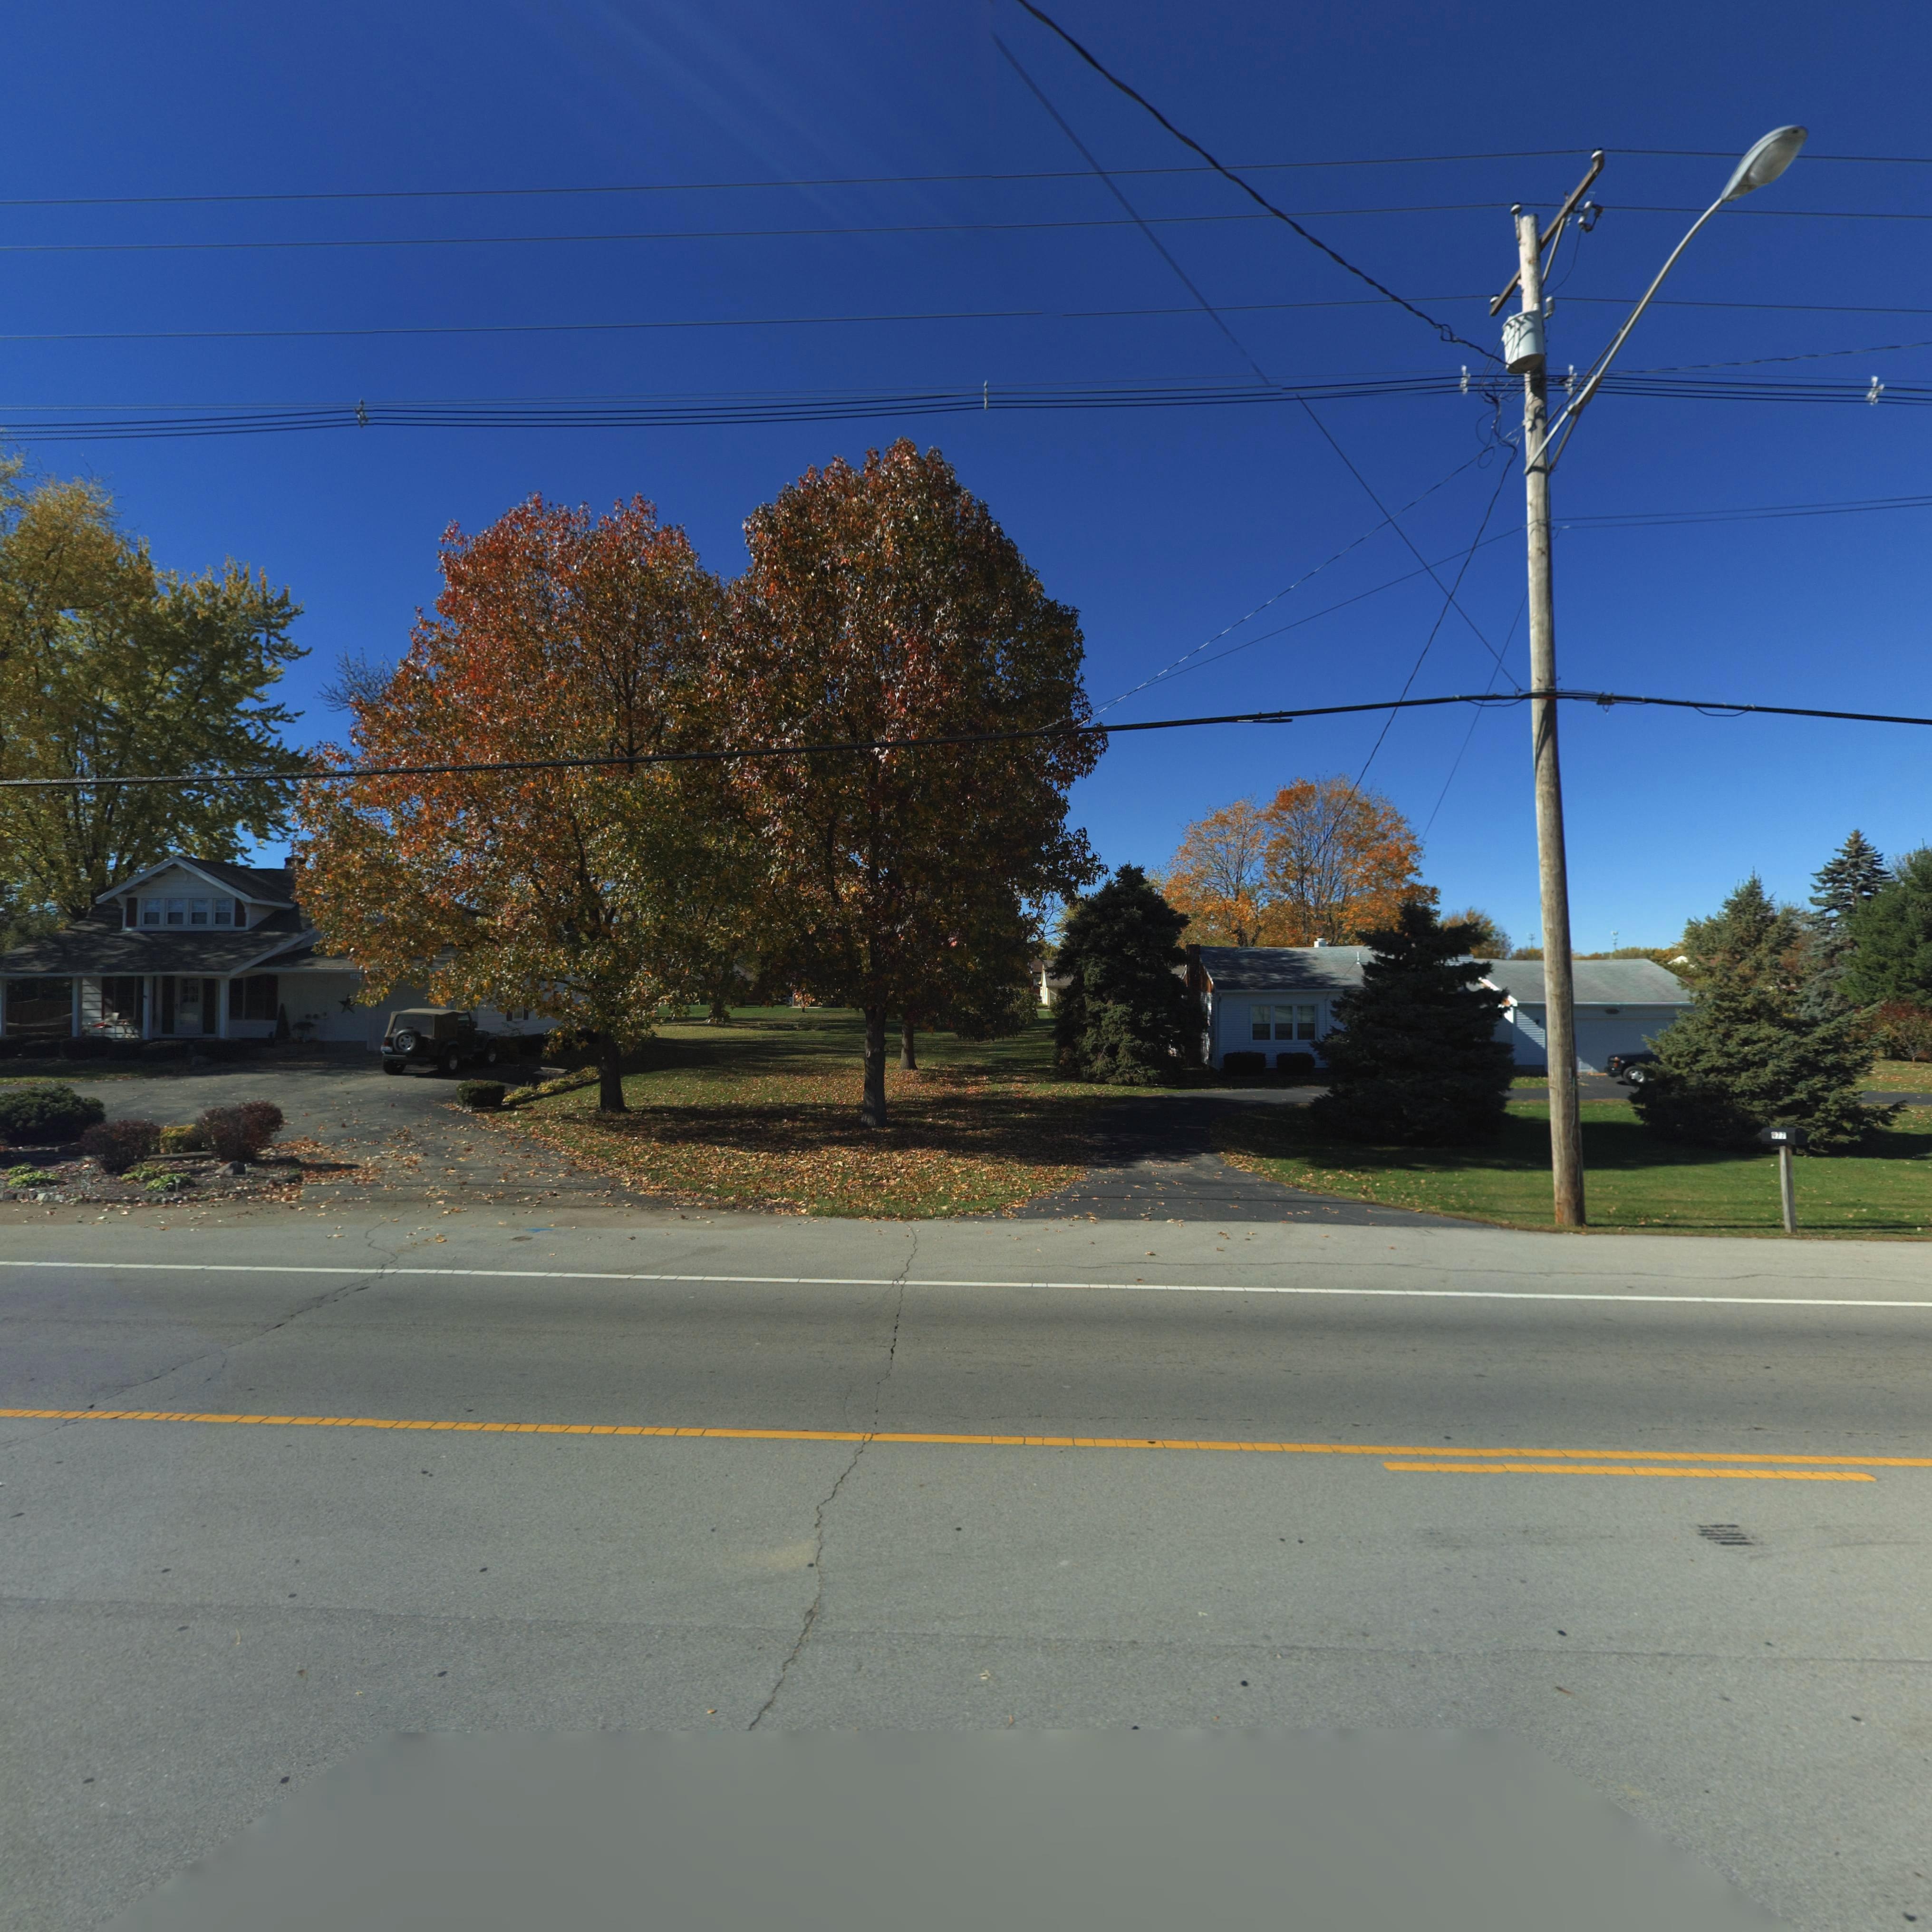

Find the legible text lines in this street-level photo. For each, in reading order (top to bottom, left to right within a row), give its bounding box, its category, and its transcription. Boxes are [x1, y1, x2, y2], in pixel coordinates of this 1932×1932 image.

[1771, 1131, 1785, 1139] StreetNumber: 977